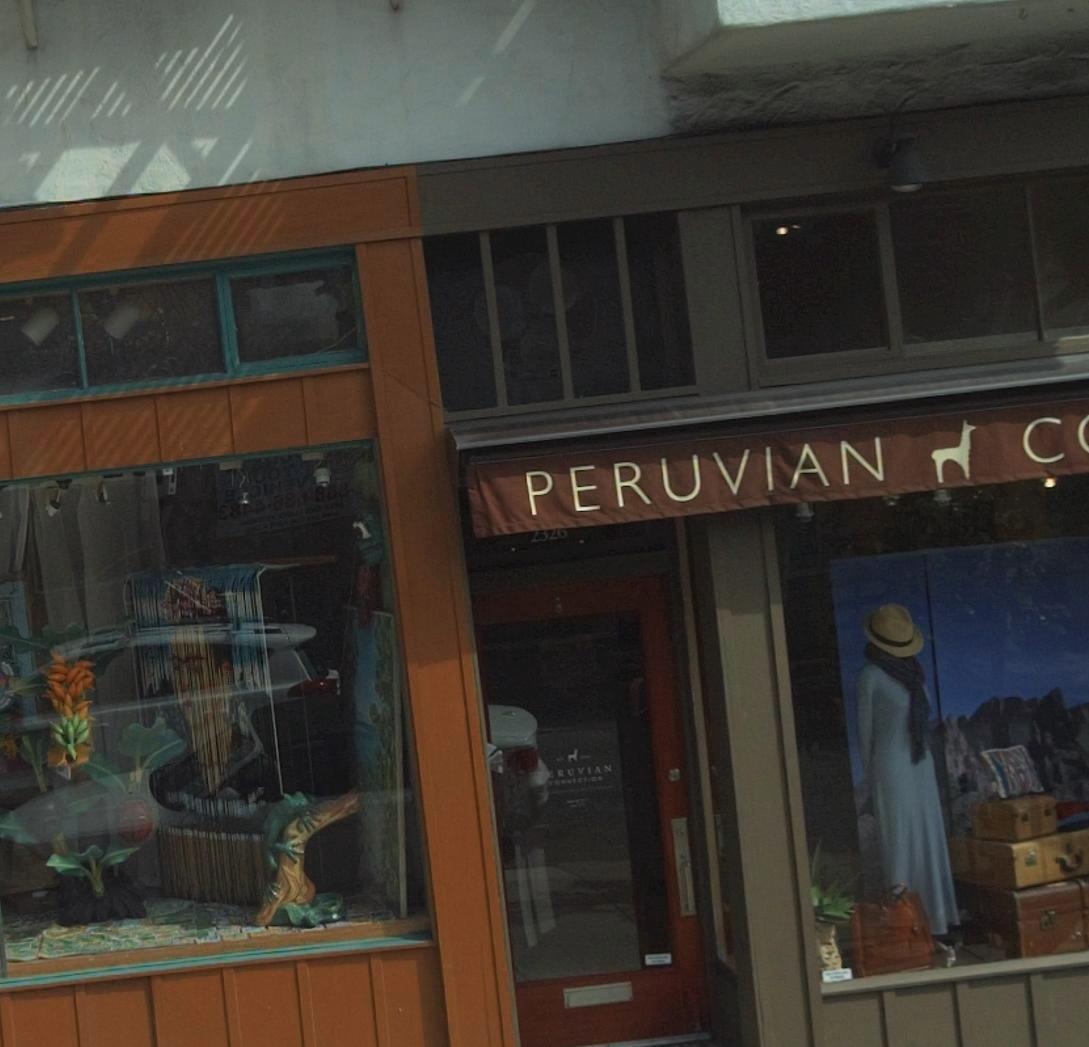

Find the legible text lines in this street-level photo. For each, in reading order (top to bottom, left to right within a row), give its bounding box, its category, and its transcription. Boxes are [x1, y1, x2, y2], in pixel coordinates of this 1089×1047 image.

[520, 415, 1070, 522] BusinessName: PERUVIAN * C
[555, 761, 614, 781] BusinessName: RUVIAN